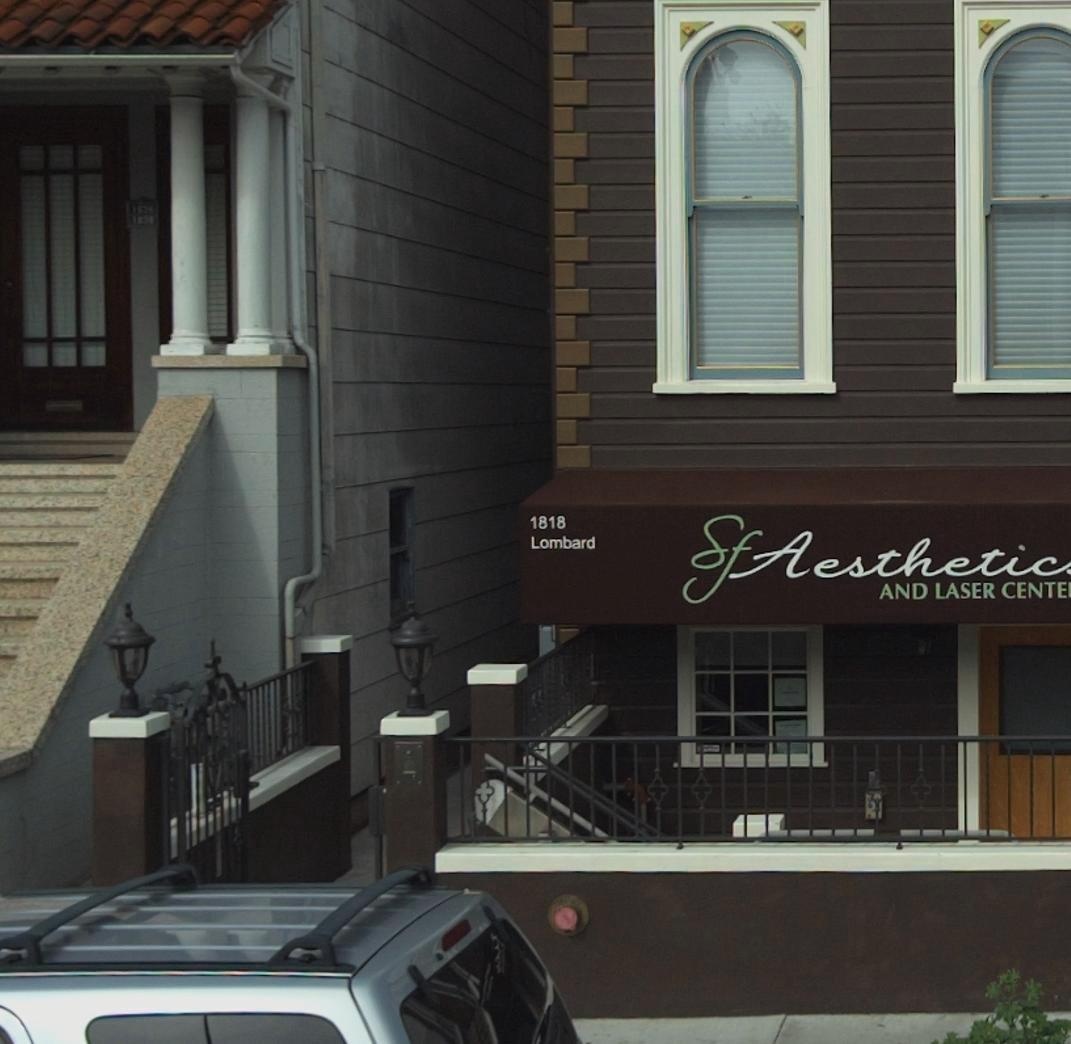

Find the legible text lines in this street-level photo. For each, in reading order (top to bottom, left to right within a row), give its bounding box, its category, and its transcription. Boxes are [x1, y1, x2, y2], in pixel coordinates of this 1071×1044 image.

[132, 205, 155, 214] StreetNumber: 18**
[132, 216, 155, 225] StreetNumber: 18**
[530, 515, 566, 530] StreetNumber: 1818
[531, 535, 595, 549] StreetName: Lombard
[689, 513, 1058, 580] BusinessName: SfAesthetic
[879, 581, 1068, 600] BusinessName: AND LASER CENTE